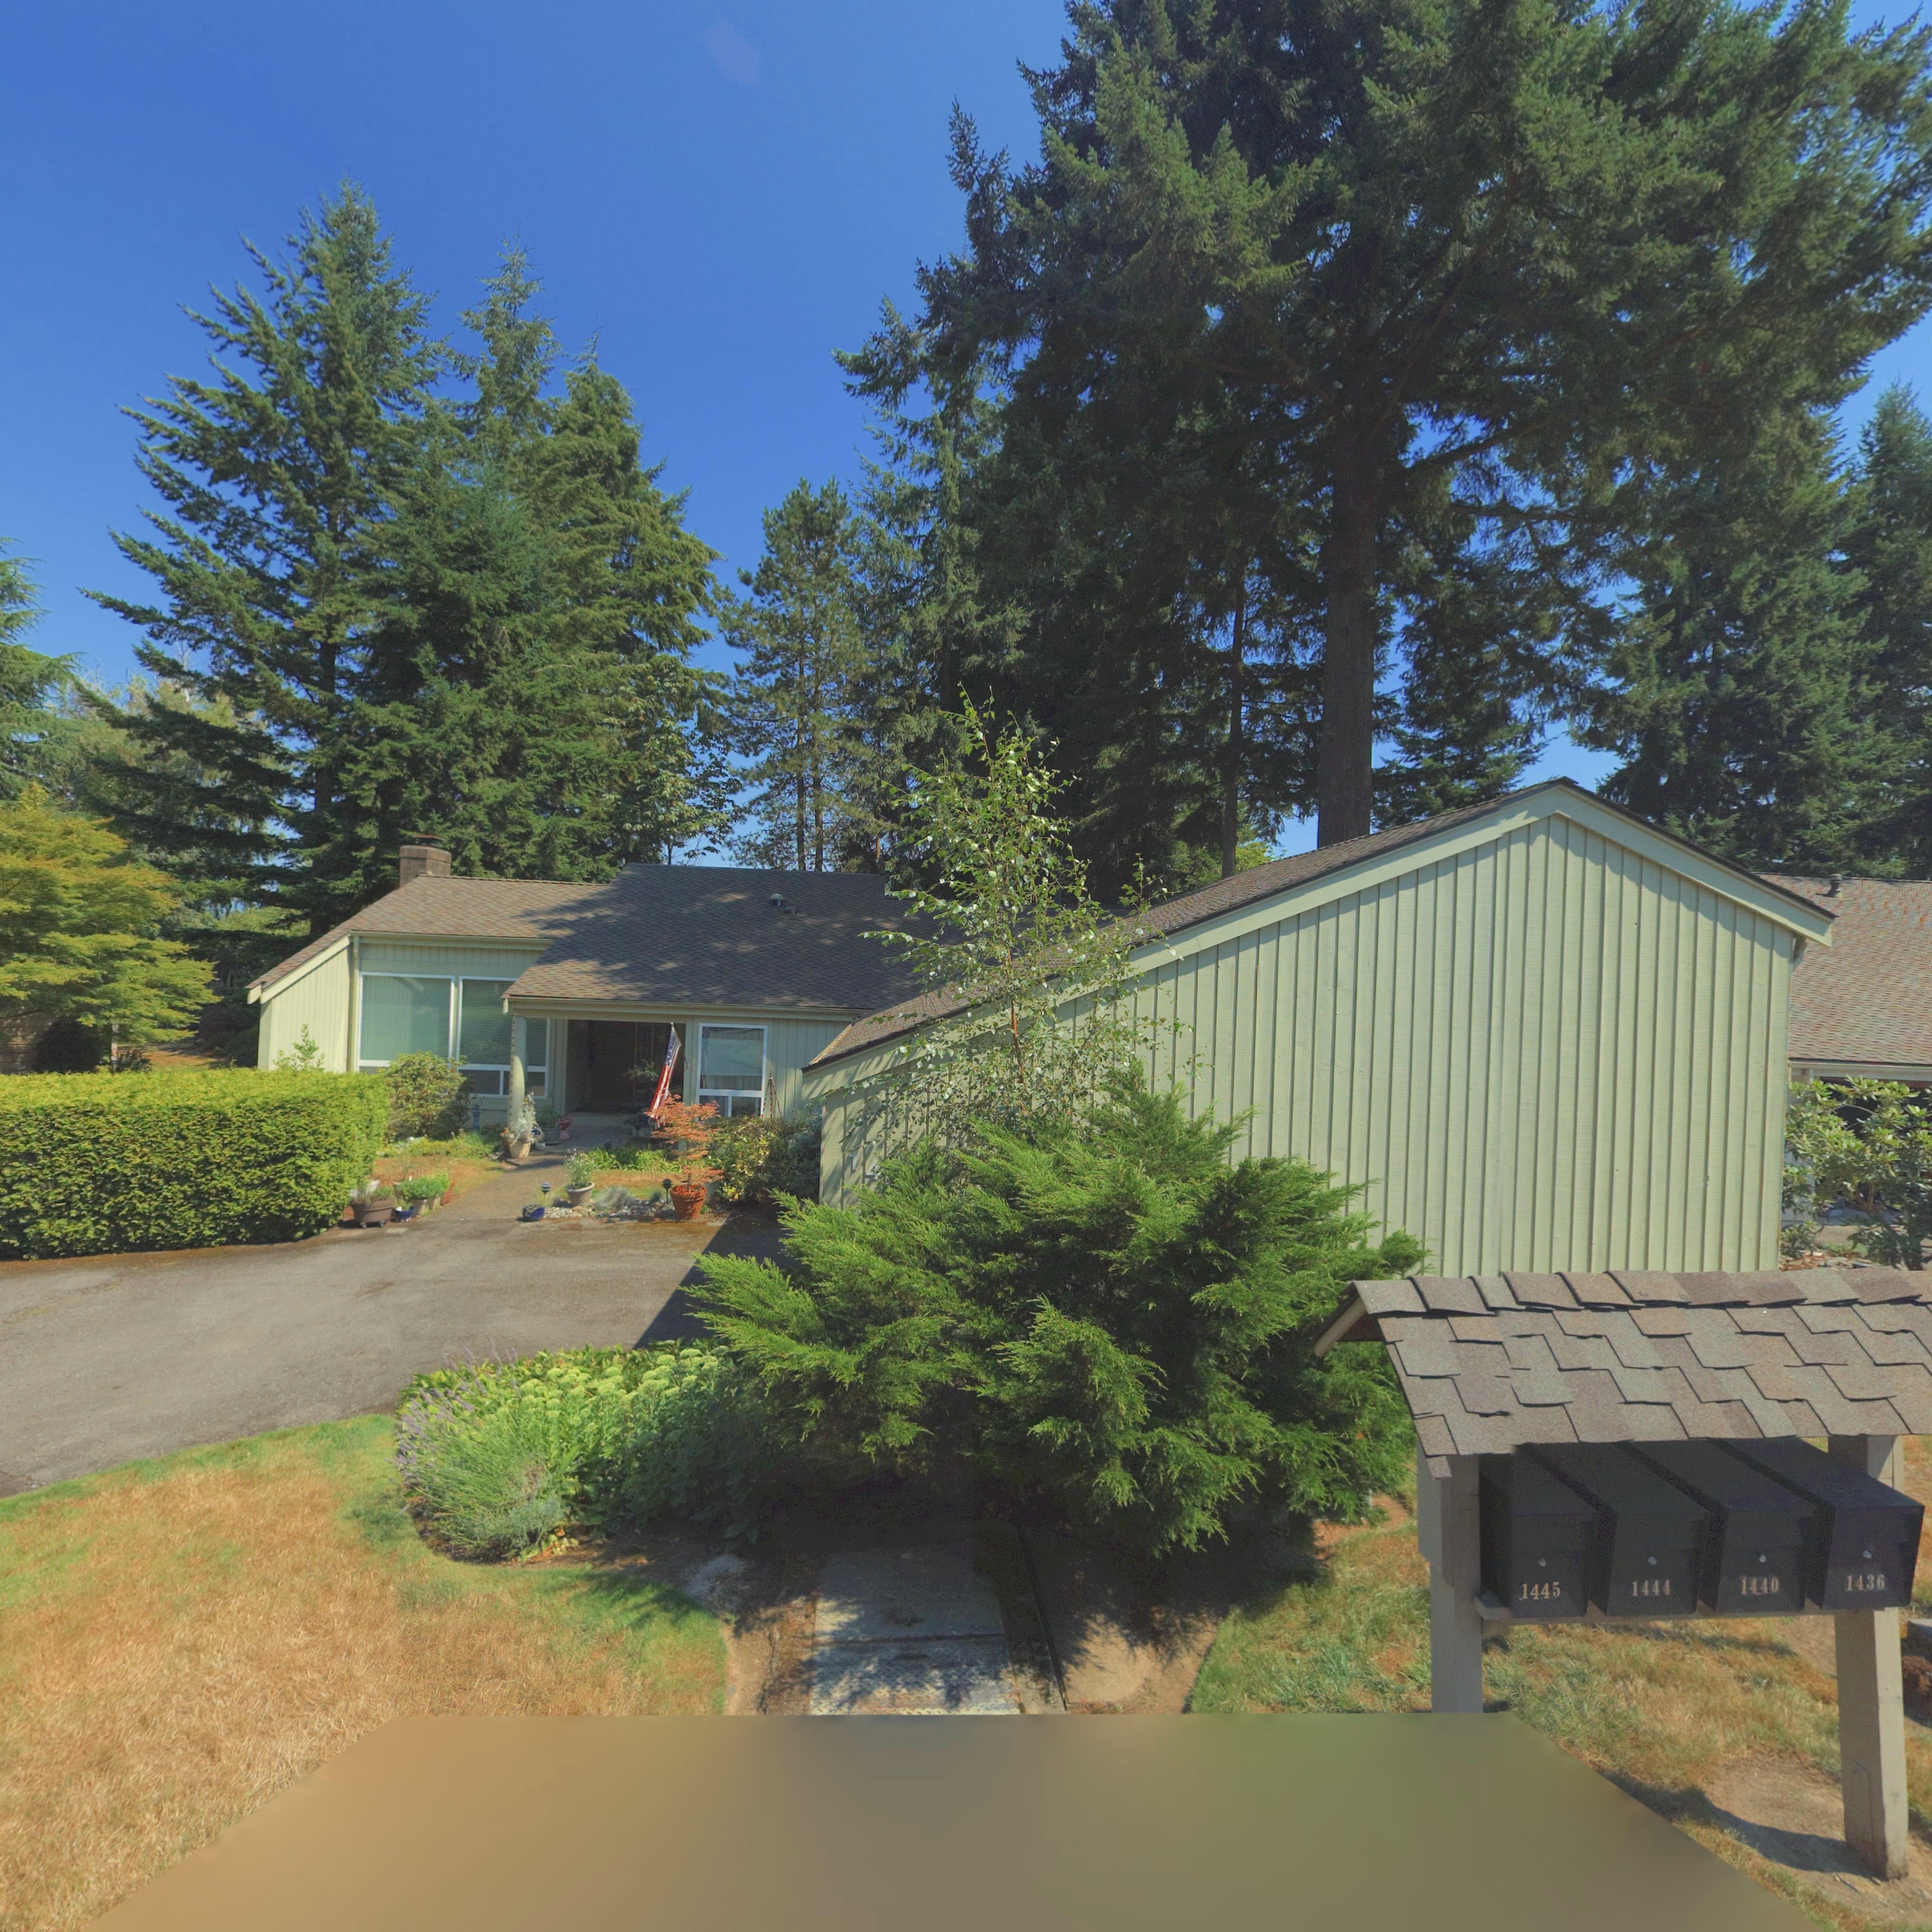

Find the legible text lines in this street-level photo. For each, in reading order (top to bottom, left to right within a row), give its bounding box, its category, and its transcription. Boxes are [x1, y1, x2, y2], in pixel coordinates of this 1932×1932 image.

[1632, 1579, 1670, 1596] StreetNumber: 1444
[1739, 1576, 1780, 1597] StreetNumber: 1440
[1845, 1574, 1886, 1592] StreetNumber: 1436